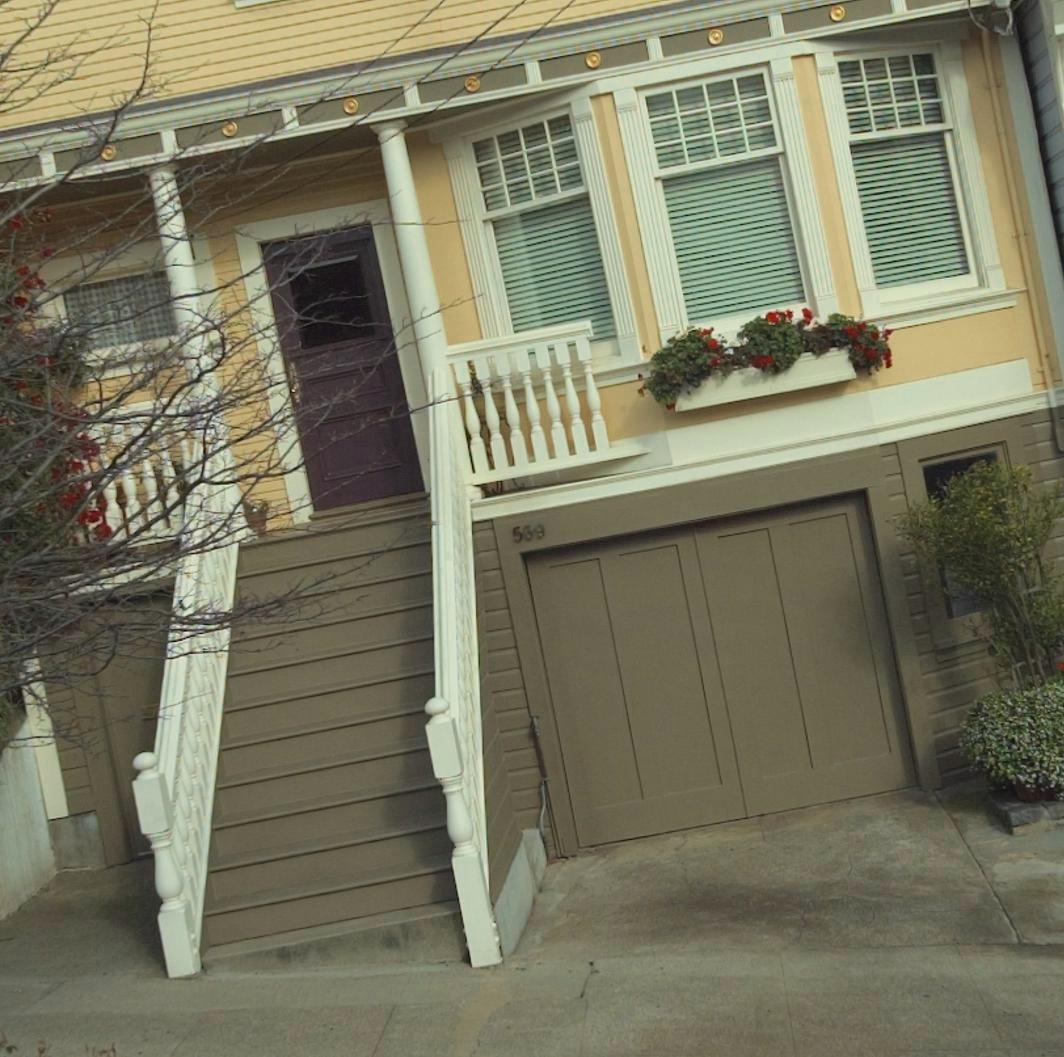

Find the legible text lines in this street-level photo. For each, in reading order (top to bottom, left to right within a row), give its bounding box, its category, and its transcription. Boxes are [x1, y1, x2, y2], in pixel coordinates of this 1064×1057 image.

[511, 522, 547, 545] StreetNumber: 569